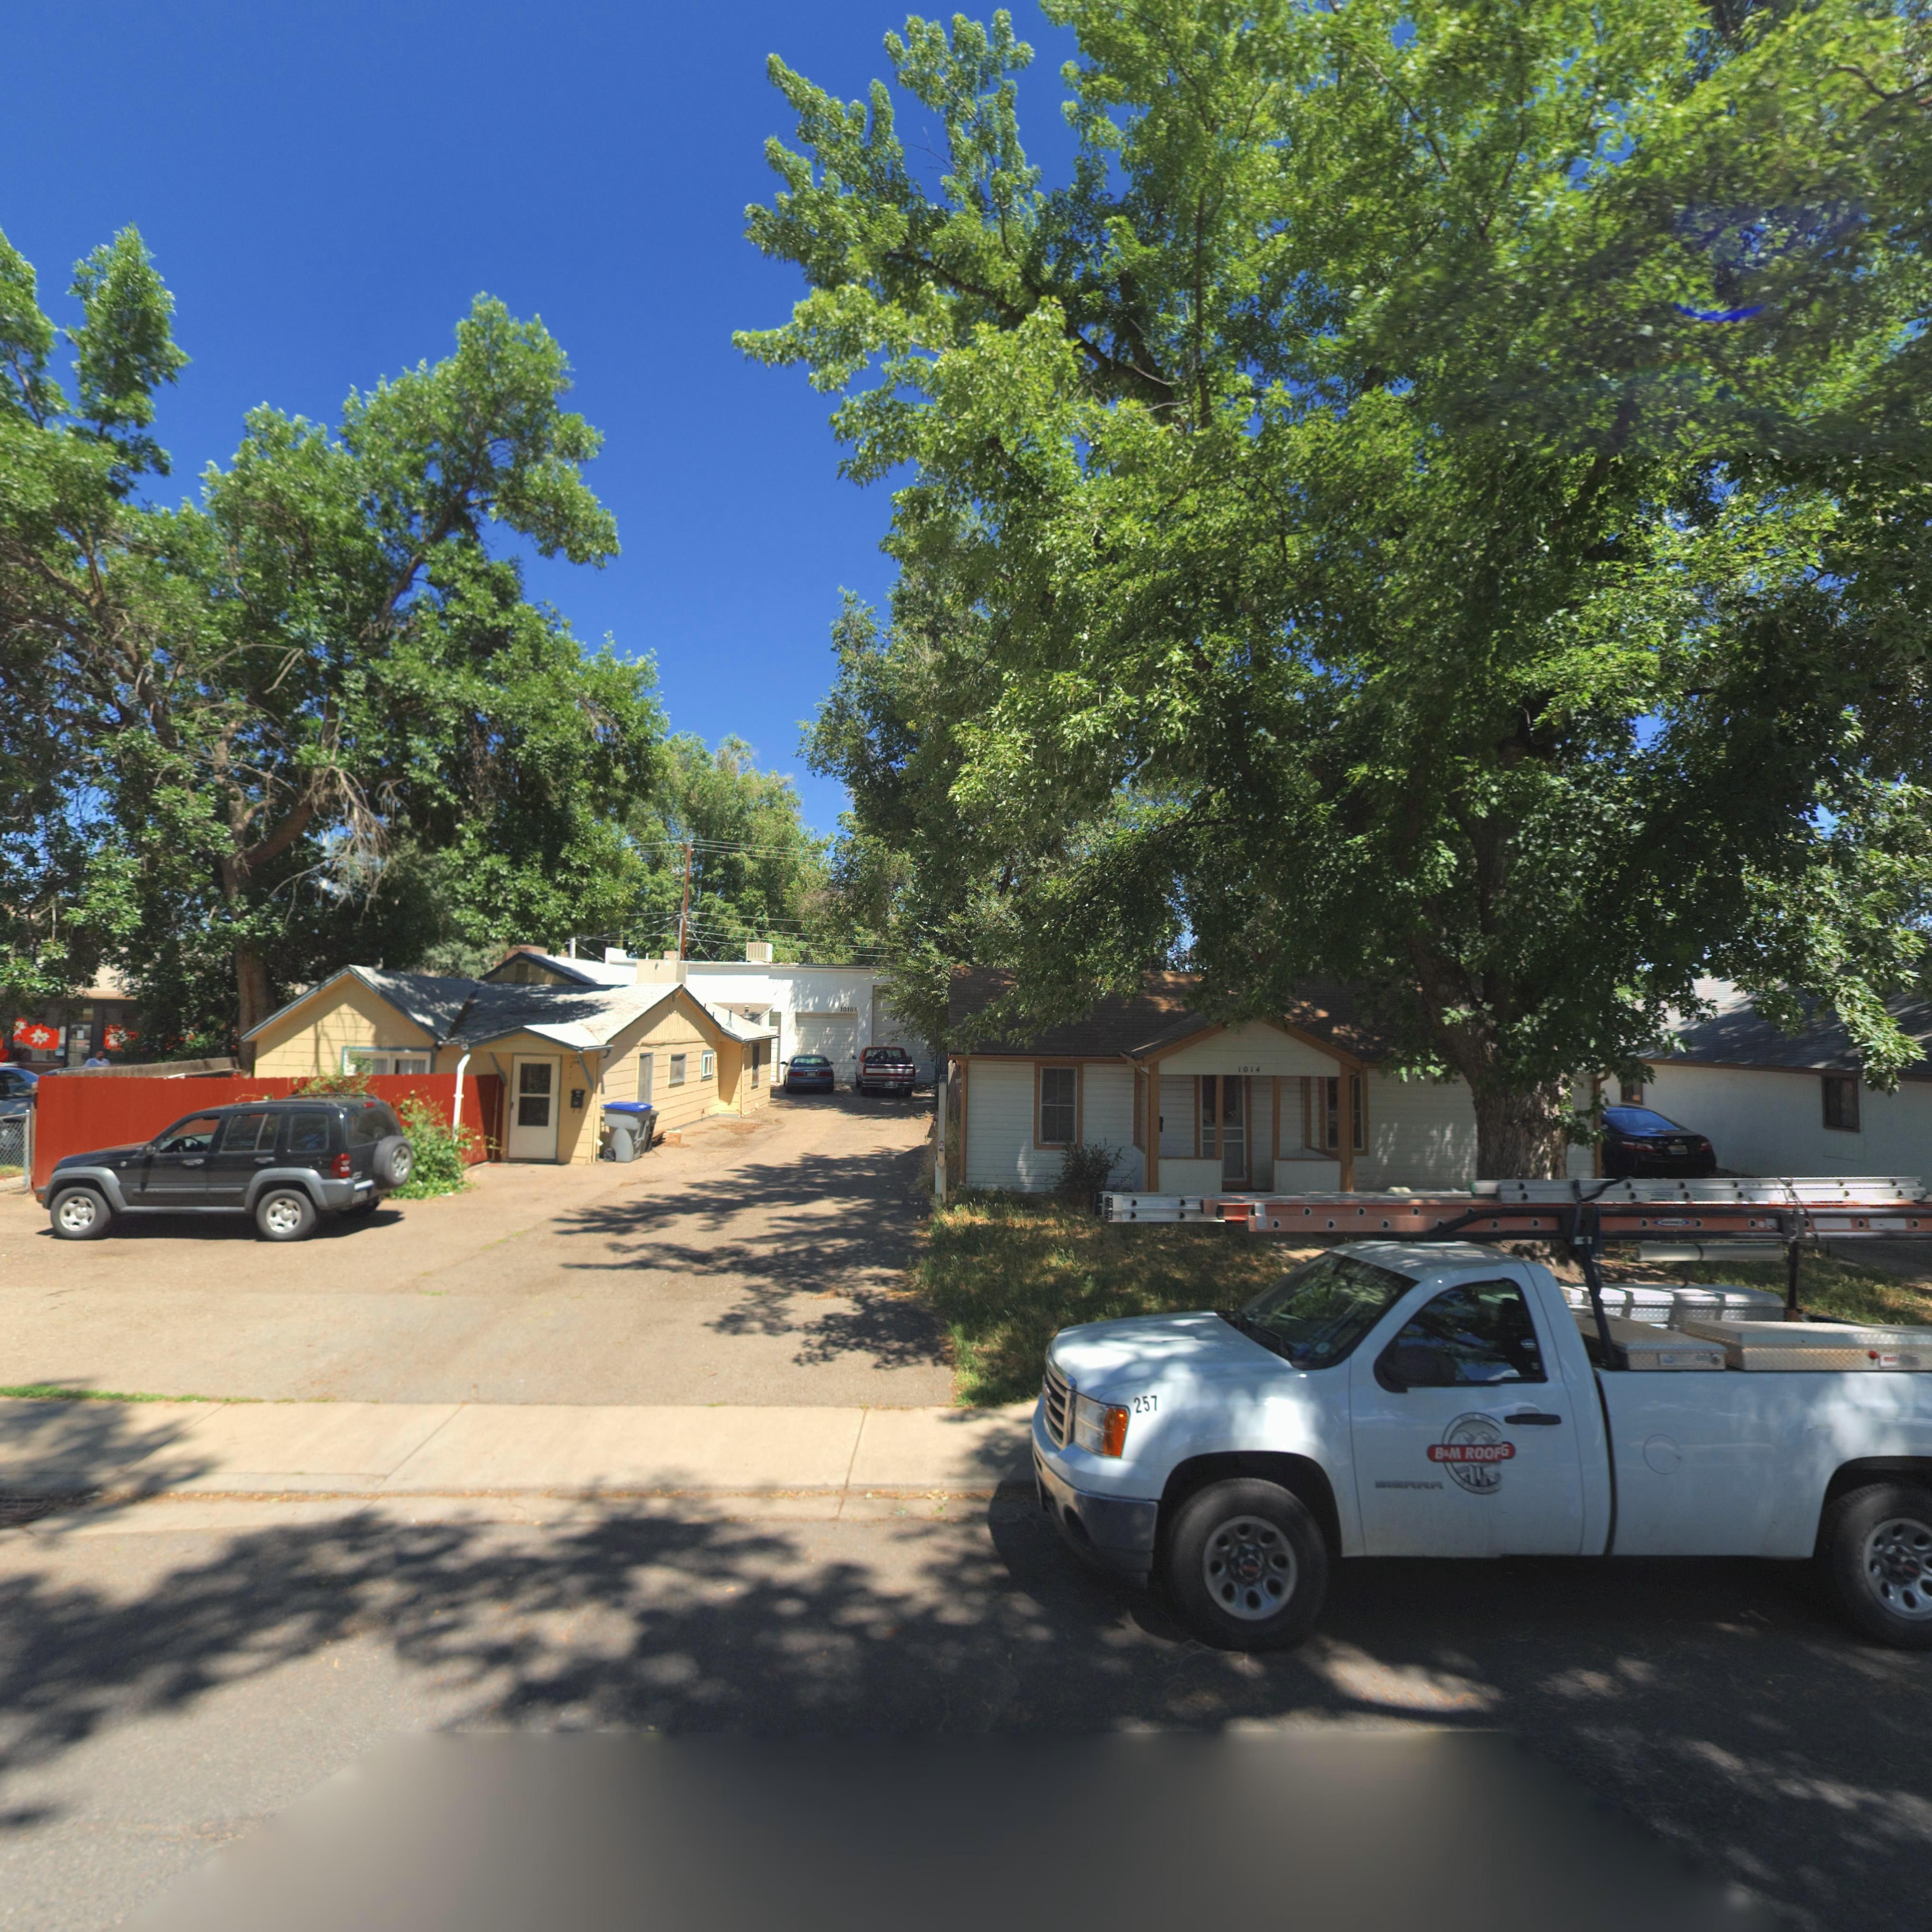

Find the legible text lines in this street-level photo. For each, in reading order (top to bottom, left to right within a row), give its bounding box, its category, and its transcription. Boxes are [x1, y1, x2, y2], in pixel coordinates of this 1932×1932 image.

[840, 1006, 853, 1012] StreetNumber: 1016
[1238, 1066, 1260, 1073] StreetNumber: 1014